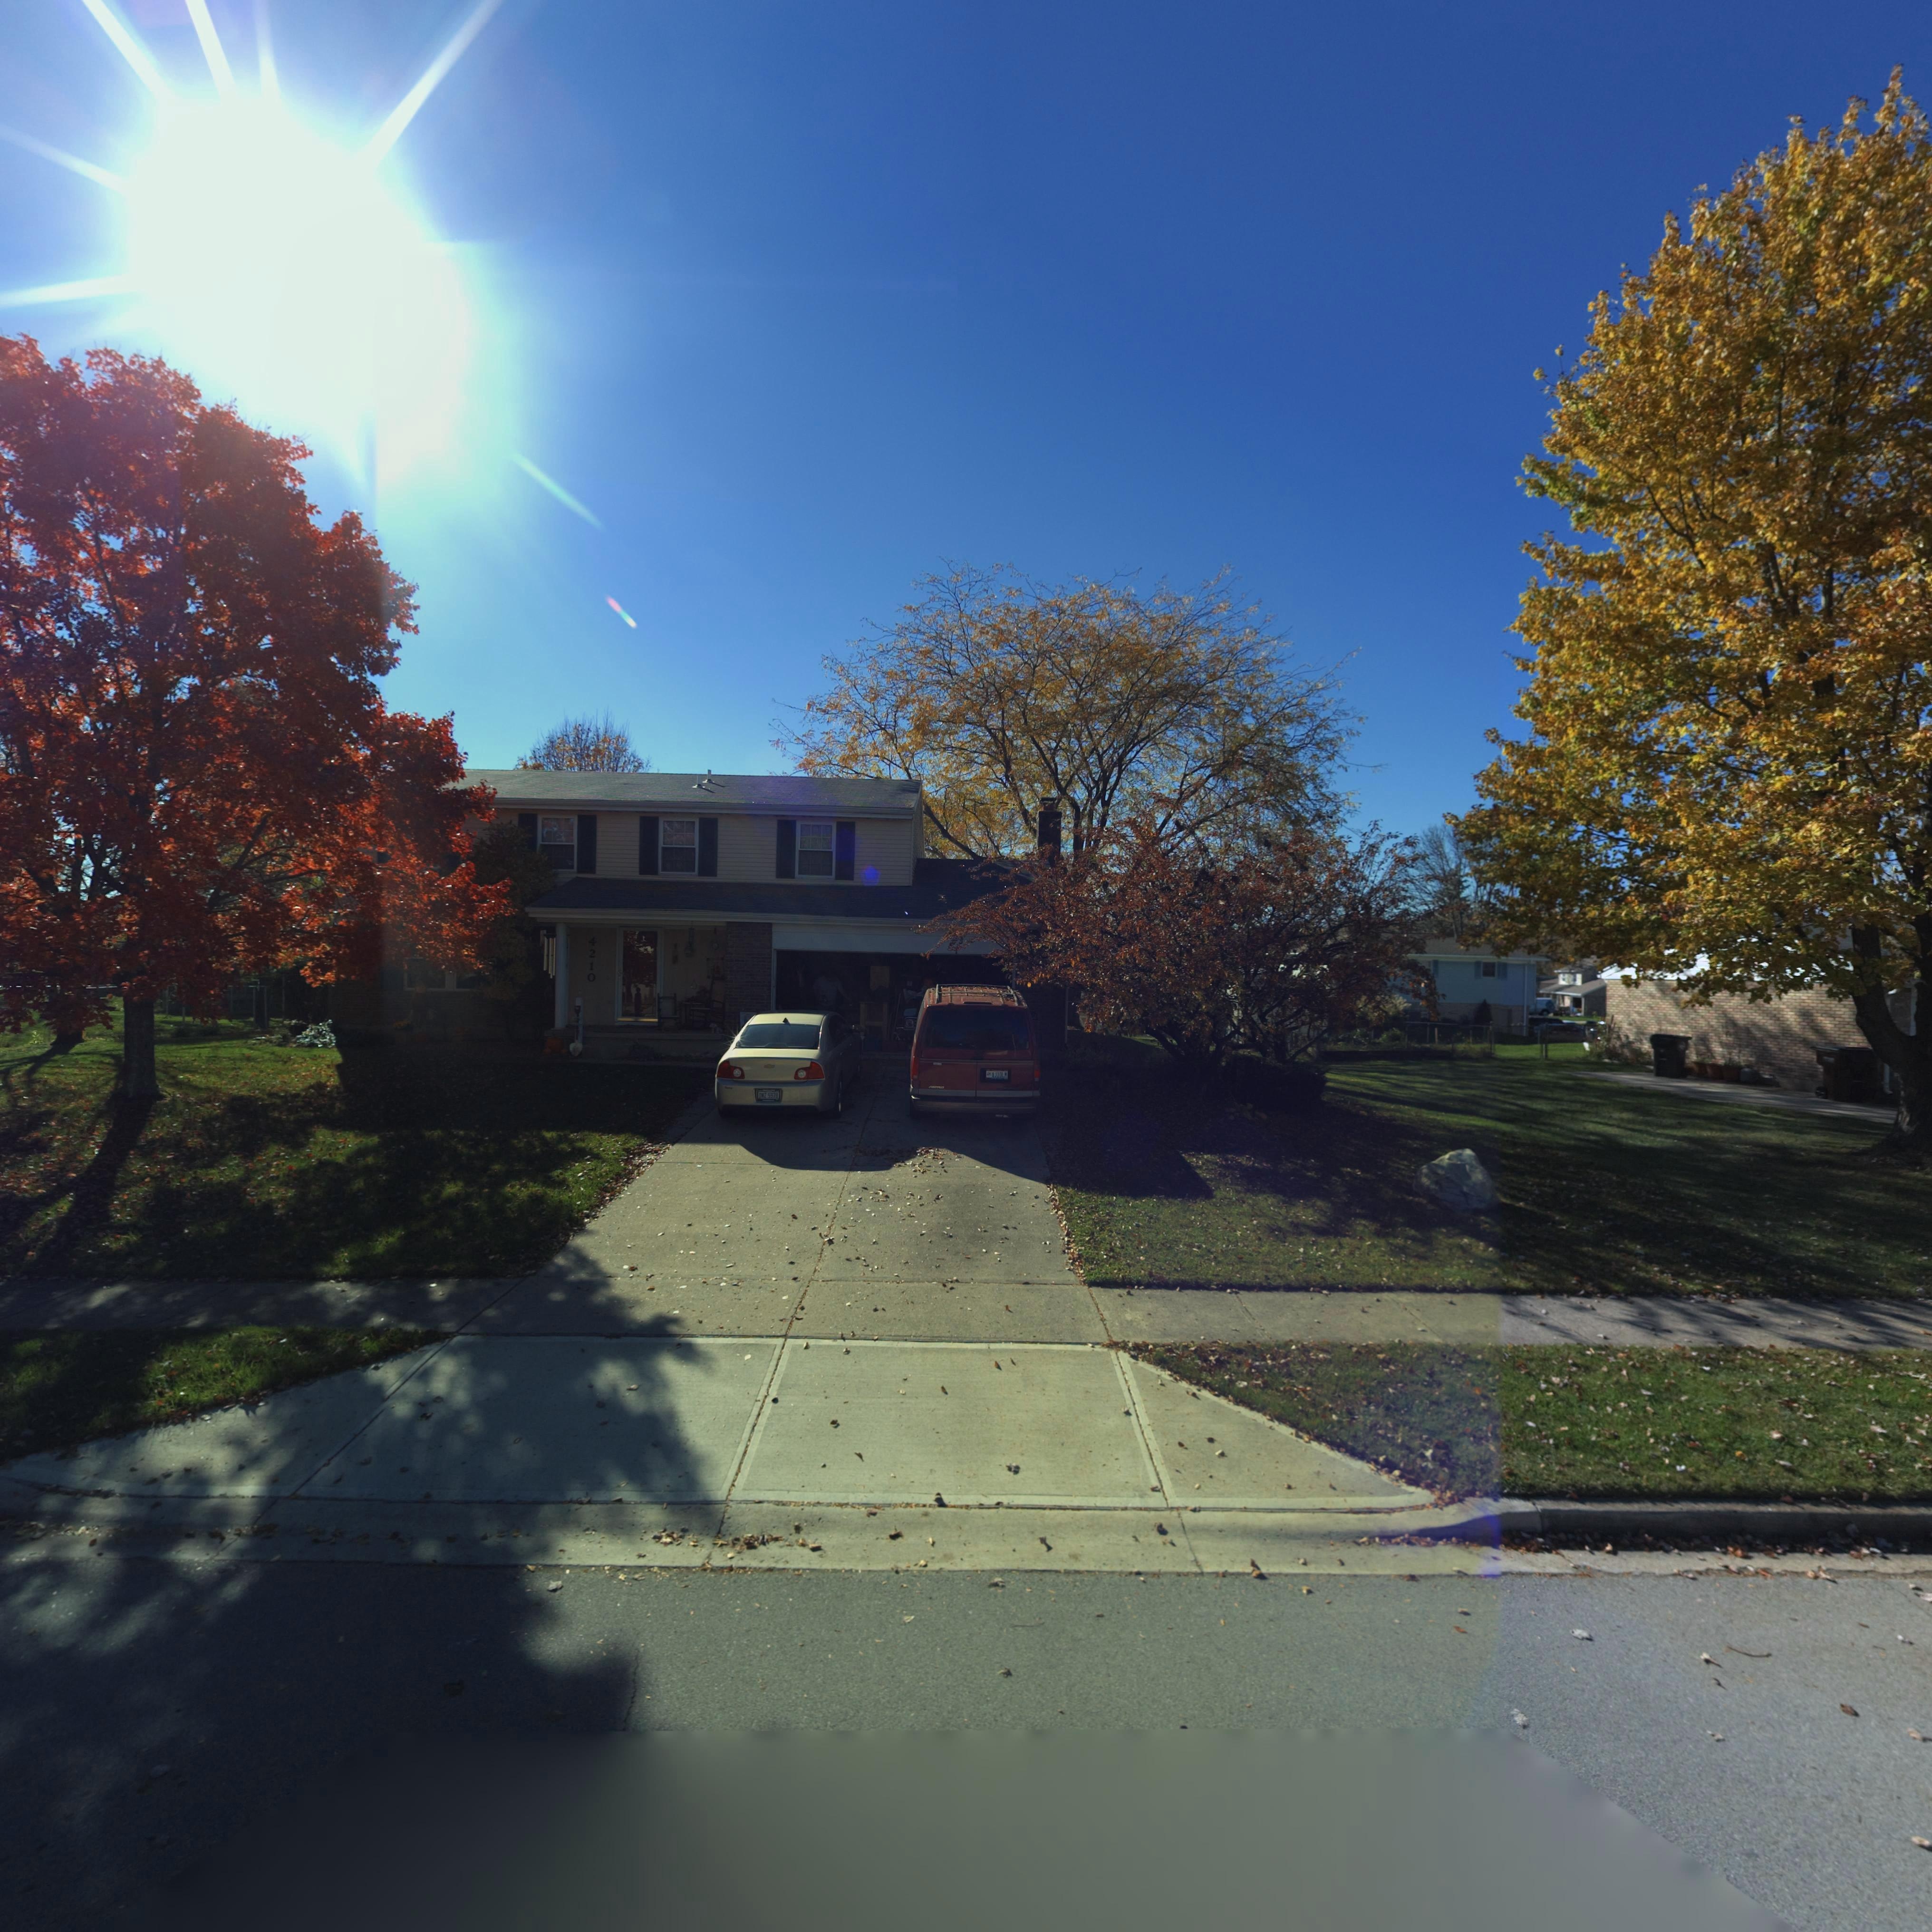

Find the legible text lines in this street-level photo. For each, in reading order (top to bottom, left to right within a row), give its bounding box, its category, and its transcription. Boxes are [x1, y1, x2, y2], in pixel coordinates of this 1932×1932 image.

[587, 934, 598, 983] StreetNumber: 4210
[991, 1072, 1007, 1078] None: AJ10LN
[927, 1085, 945, 1090] None: A**RO
[758, 1092, 779, 1099] None: D*Z*5978